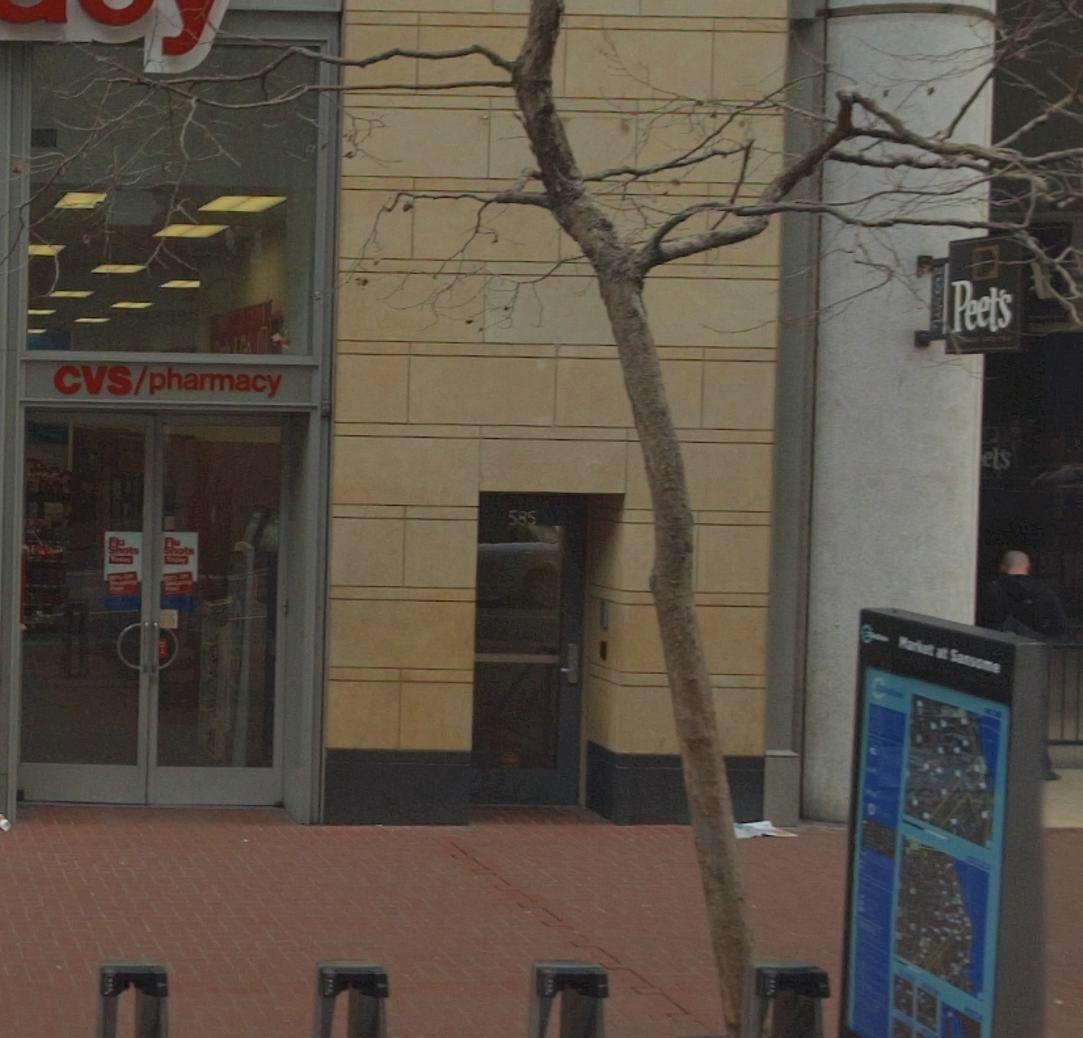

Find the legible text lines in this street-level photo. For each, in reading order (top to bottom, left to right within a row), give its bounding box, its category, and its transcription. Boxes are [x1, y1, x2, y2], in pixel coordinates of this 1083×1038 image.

[949, 278, 1015, 334] BusinessName: Peet's
[51, 364, 284, 399] BusinessName: CVS/pharmacy
[982, 444, 1014, 471] BusinessName: ets
[507, 509, 538, 527] StreetNumber: 585
[108, 535, 126, 546] None: Flu
[107, 545, 141, 556] None: Shots
[164, 536, 183, 549] None: Flu
[163, 545, 196, 555] None: Shots
[896, 632, 1003, 677] None: Market at Sa*some